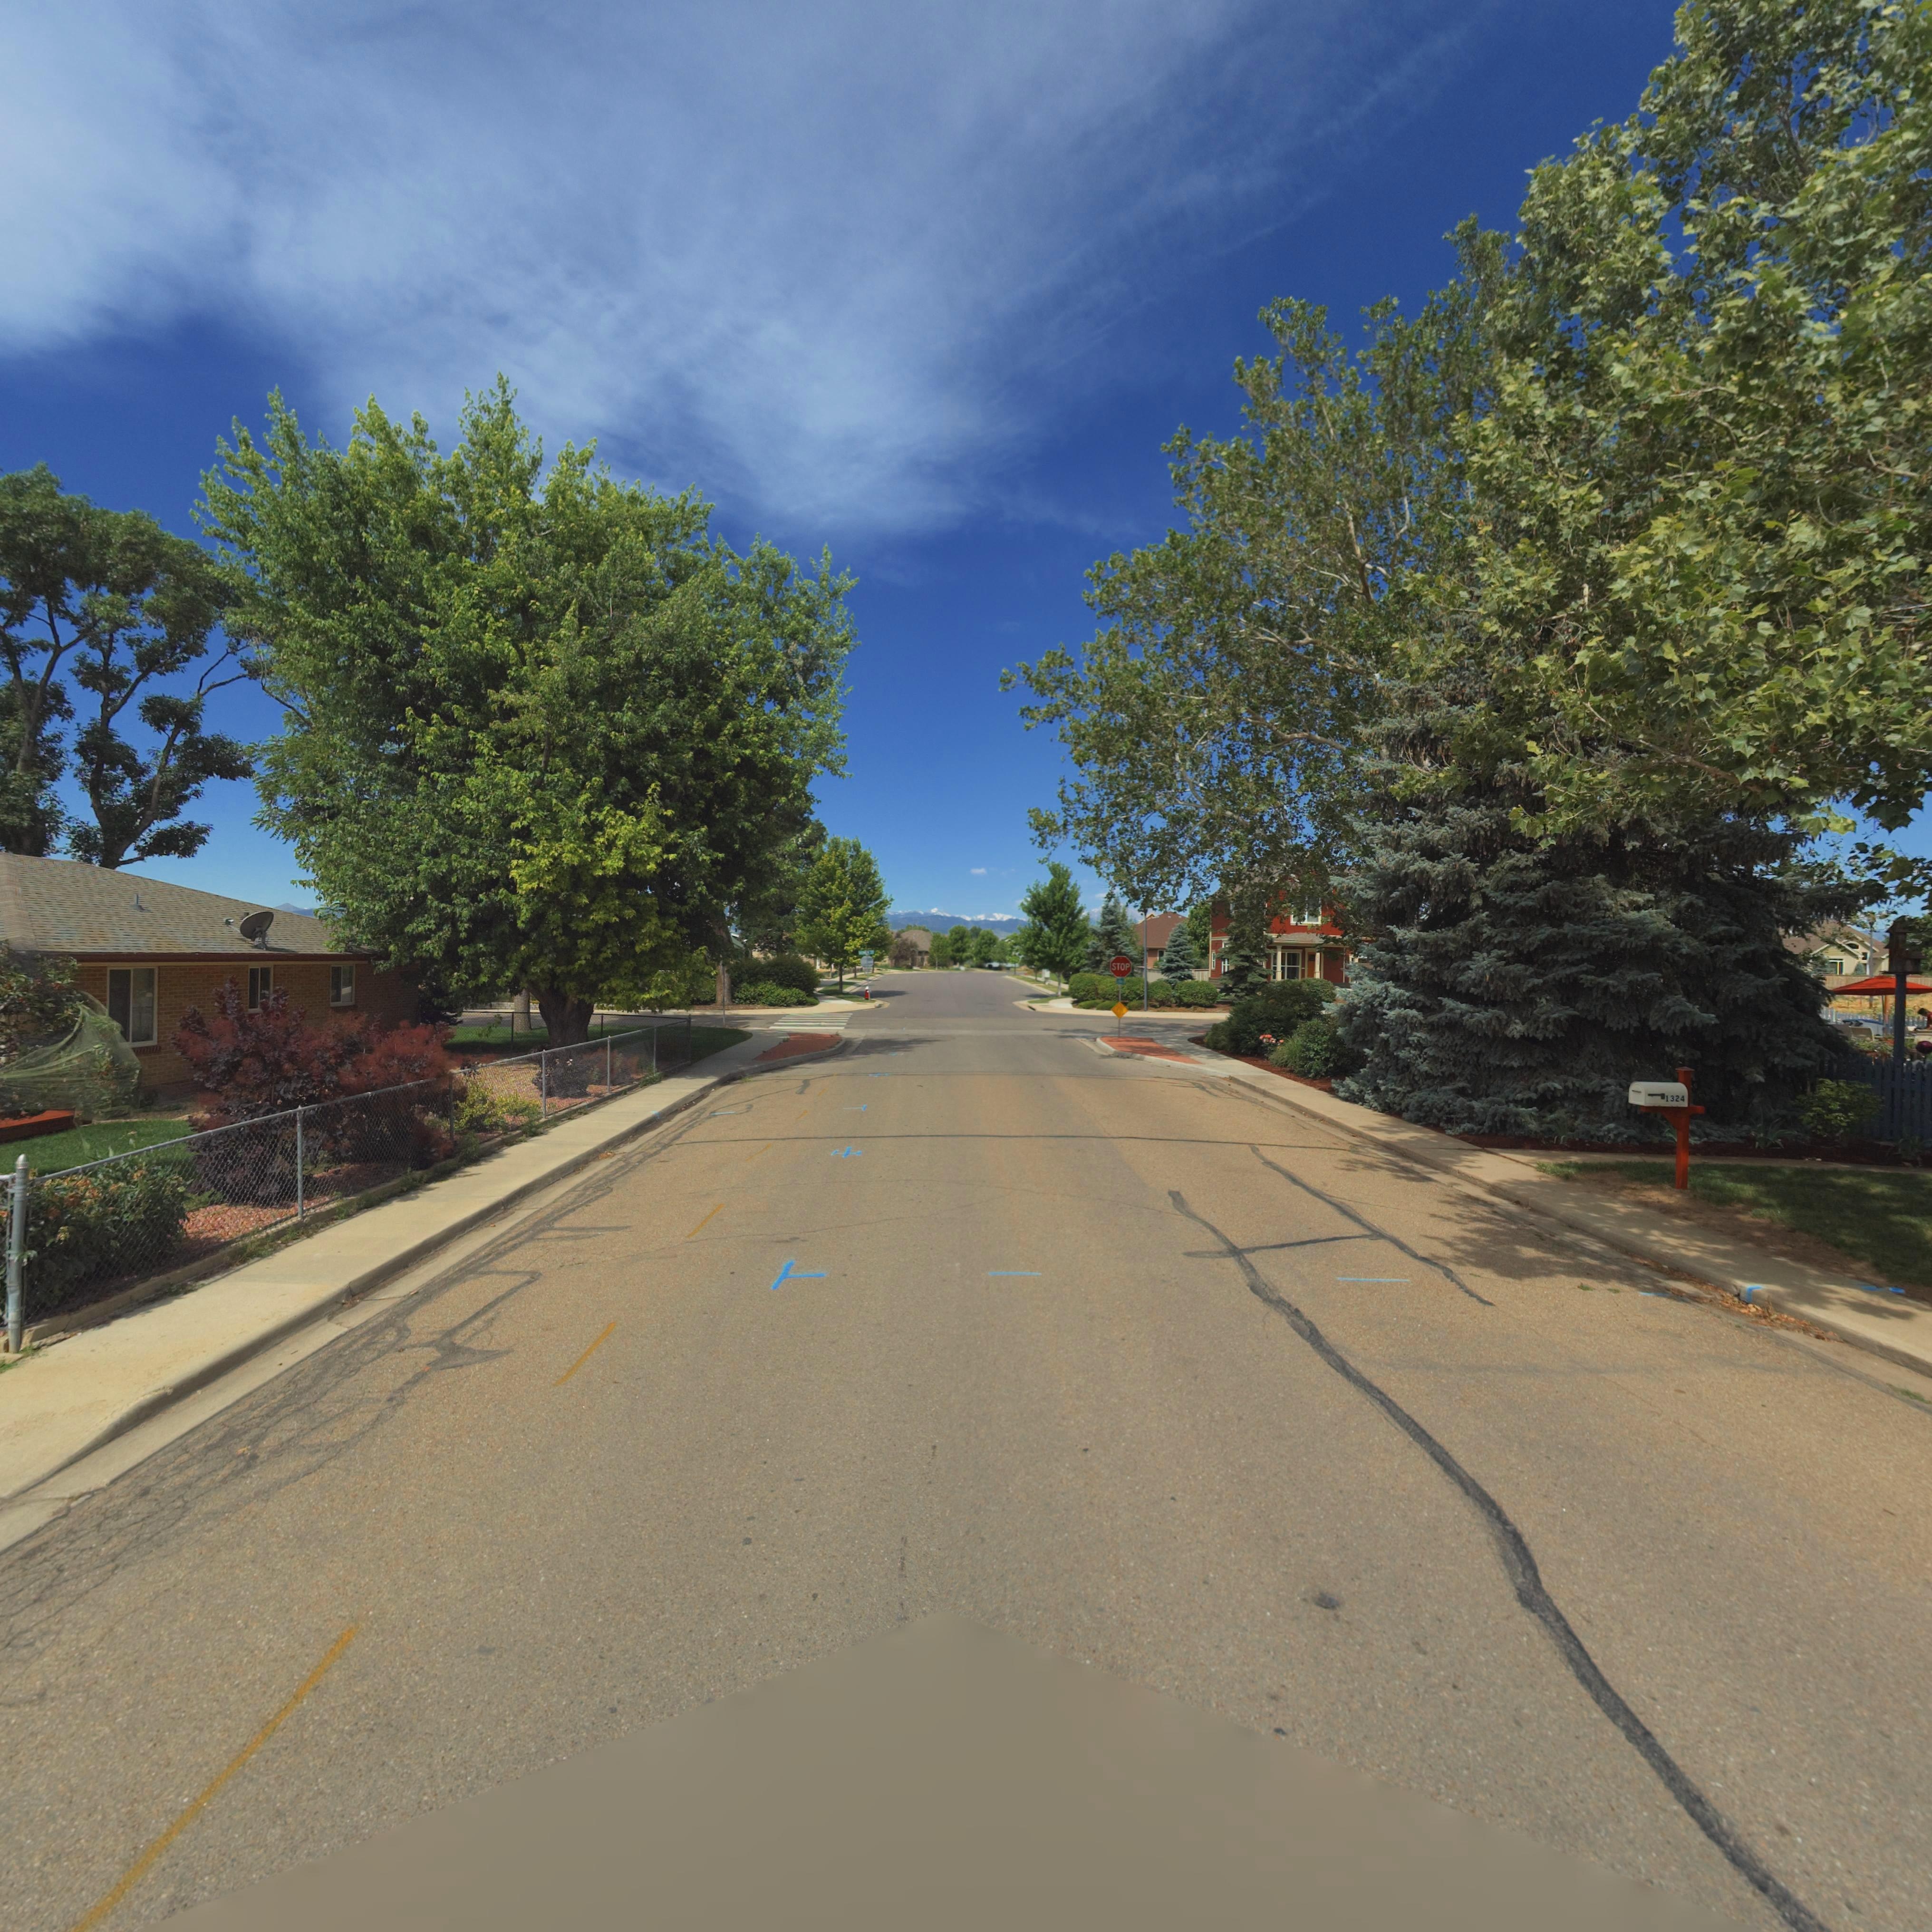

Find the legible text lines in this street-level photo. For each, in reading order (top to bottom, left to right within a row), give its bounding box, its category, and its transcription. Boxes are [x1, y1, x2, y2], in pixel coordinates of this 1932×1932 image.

[1665, 1095, 1685, 1103] StreetNumber: 1324